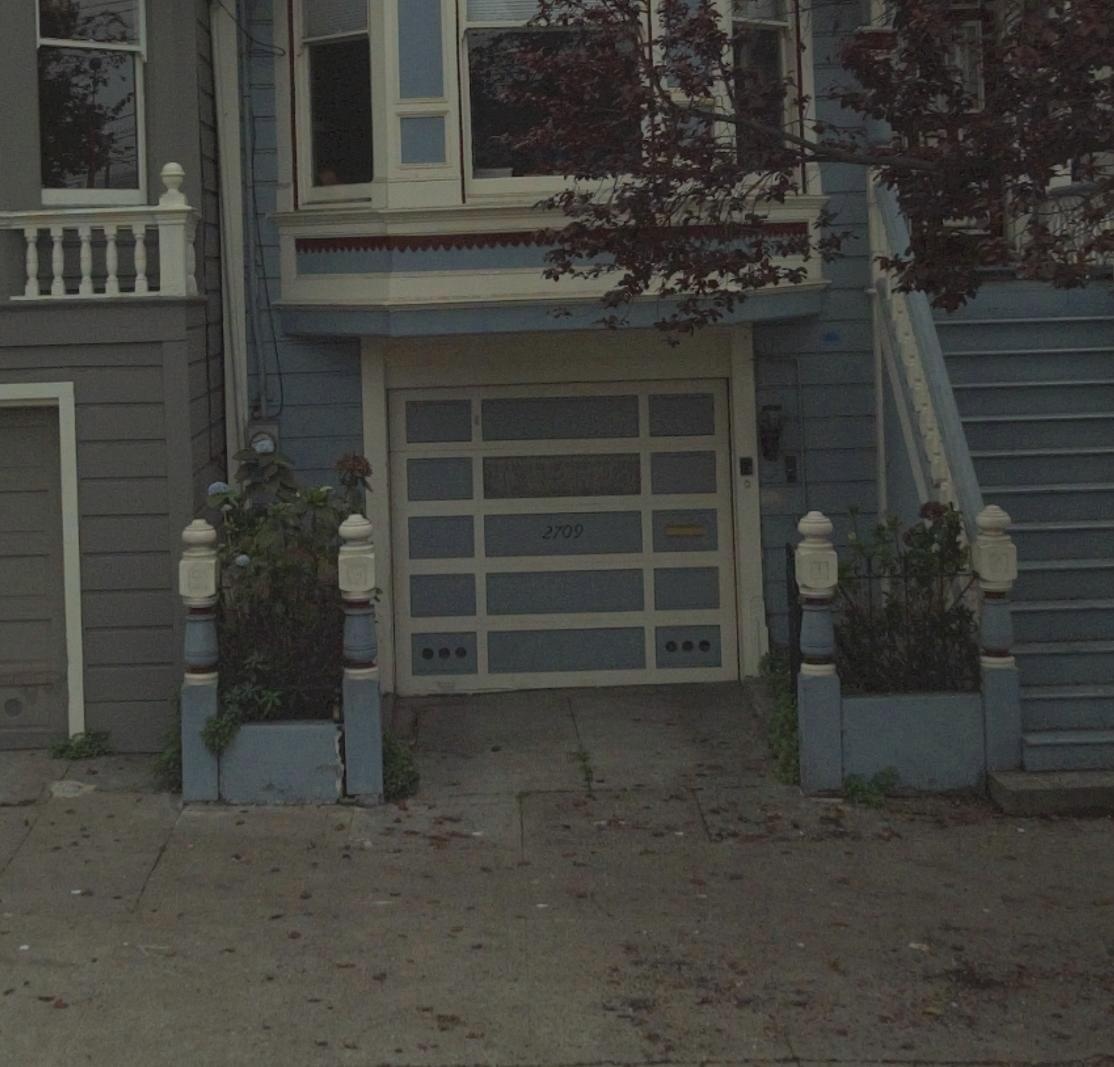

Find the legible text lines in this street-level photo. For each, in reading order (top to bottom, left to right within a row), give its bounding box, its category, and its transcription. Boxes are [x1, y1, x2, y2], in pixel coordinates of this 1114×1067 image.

[539, 523, 586, 539] StreetNumber: 2709